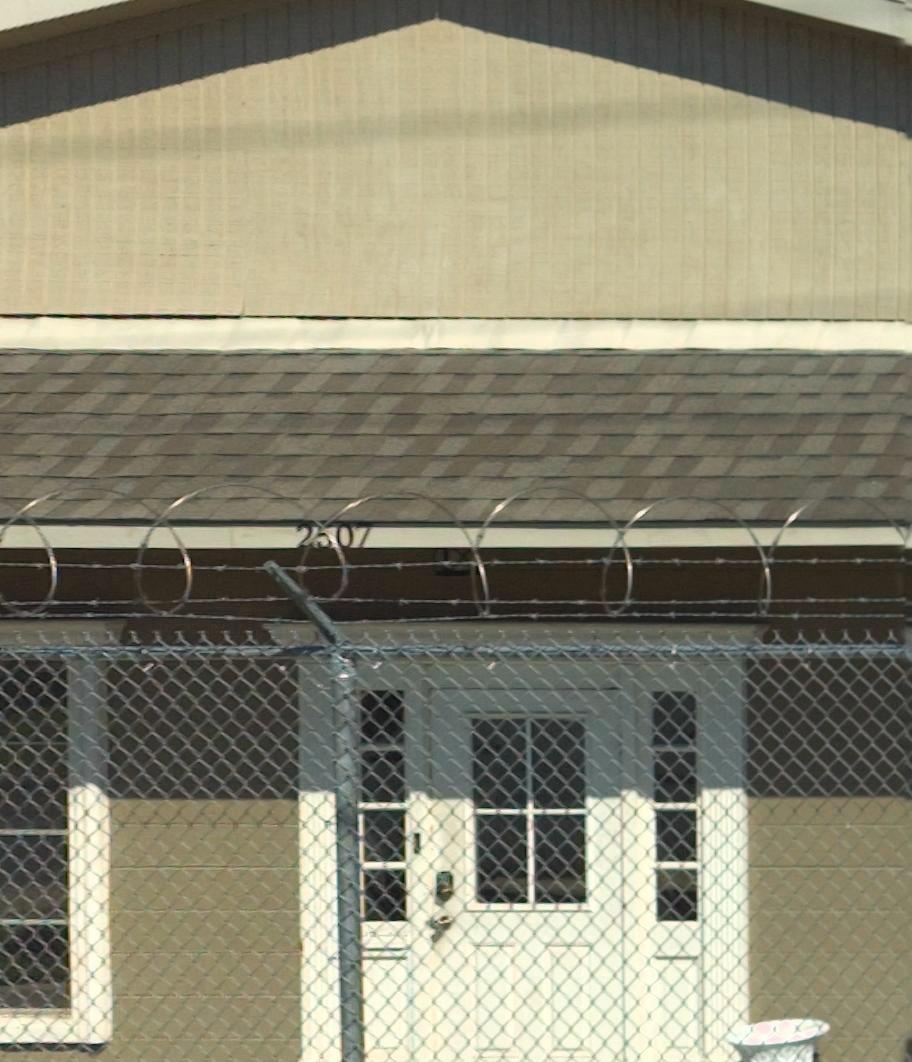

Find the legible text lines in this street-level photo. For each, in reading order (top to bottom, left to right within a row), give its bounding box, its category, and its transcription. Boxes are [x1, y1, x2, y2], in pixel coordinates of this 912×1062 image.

[293, 521, 378, 551] StreetNumber: 2*07